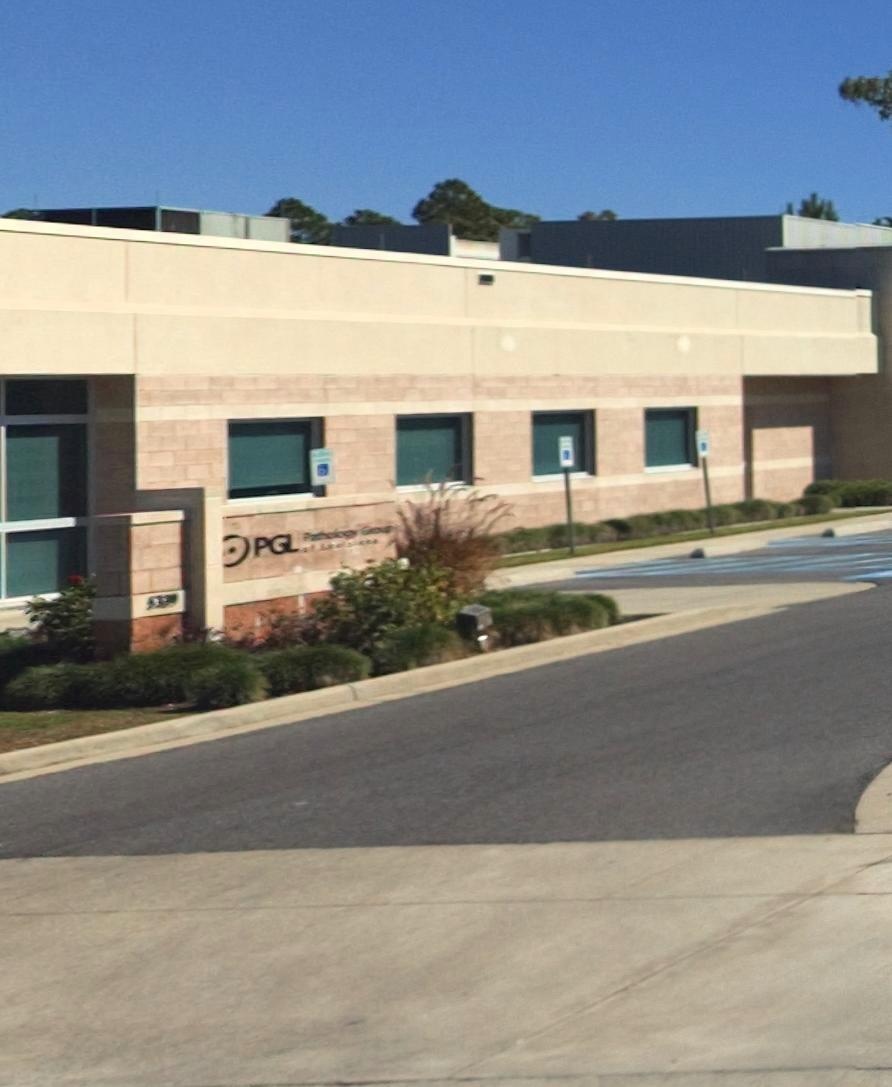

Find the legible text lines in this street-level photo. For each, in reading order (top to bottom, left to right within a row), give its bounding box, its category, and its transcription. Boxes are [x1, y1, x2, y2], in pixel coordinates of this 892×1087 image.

[253, 532, 302, 559] BusinessName: PGL
[144, 592, 180, 612] StreetNumber: 5**9